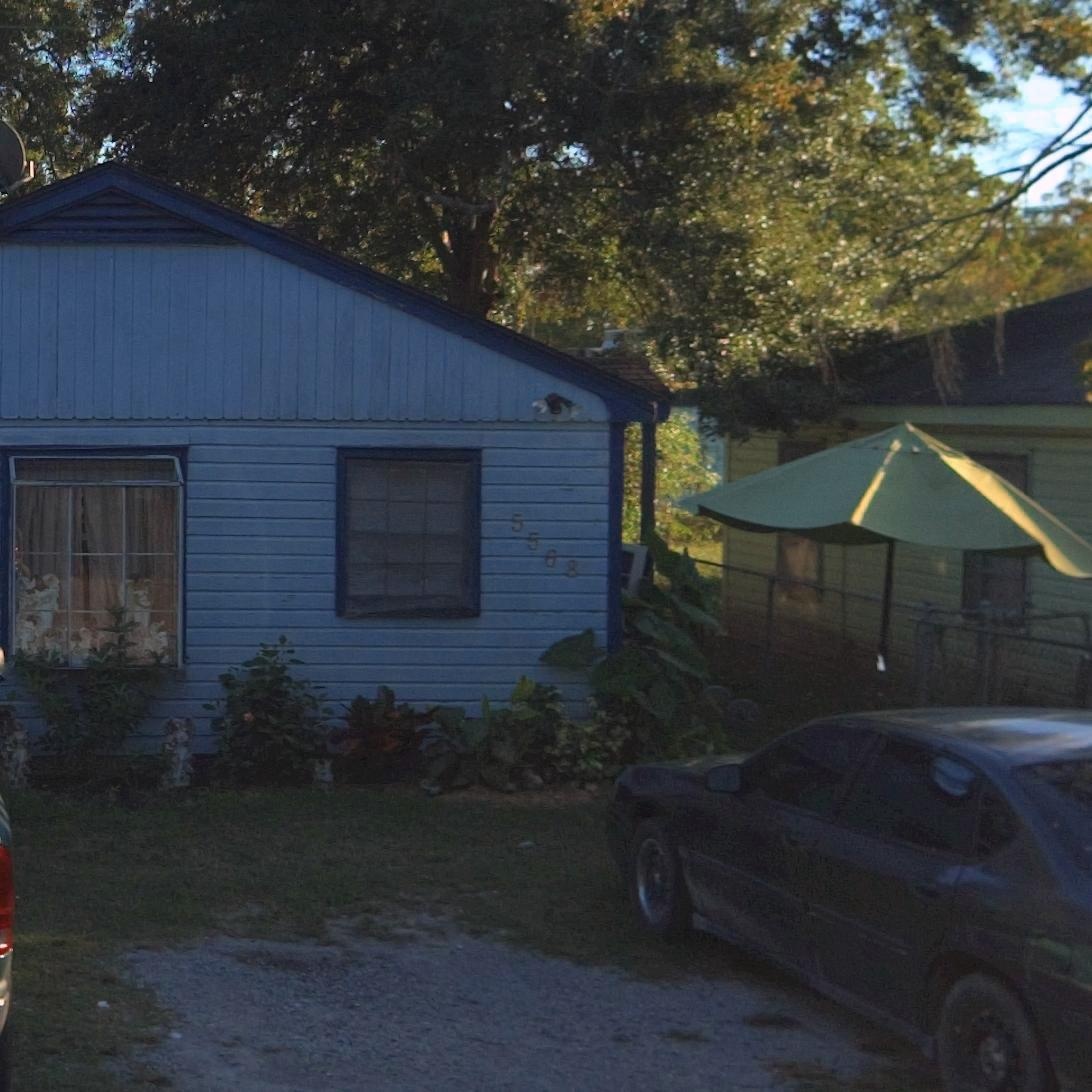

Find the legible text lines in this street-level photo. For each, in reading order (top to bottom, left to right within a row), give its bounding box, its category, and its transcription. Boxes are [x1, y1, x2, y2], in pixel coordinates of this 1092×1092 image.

[509, 513, 580, 586] StreetNumber: 5568